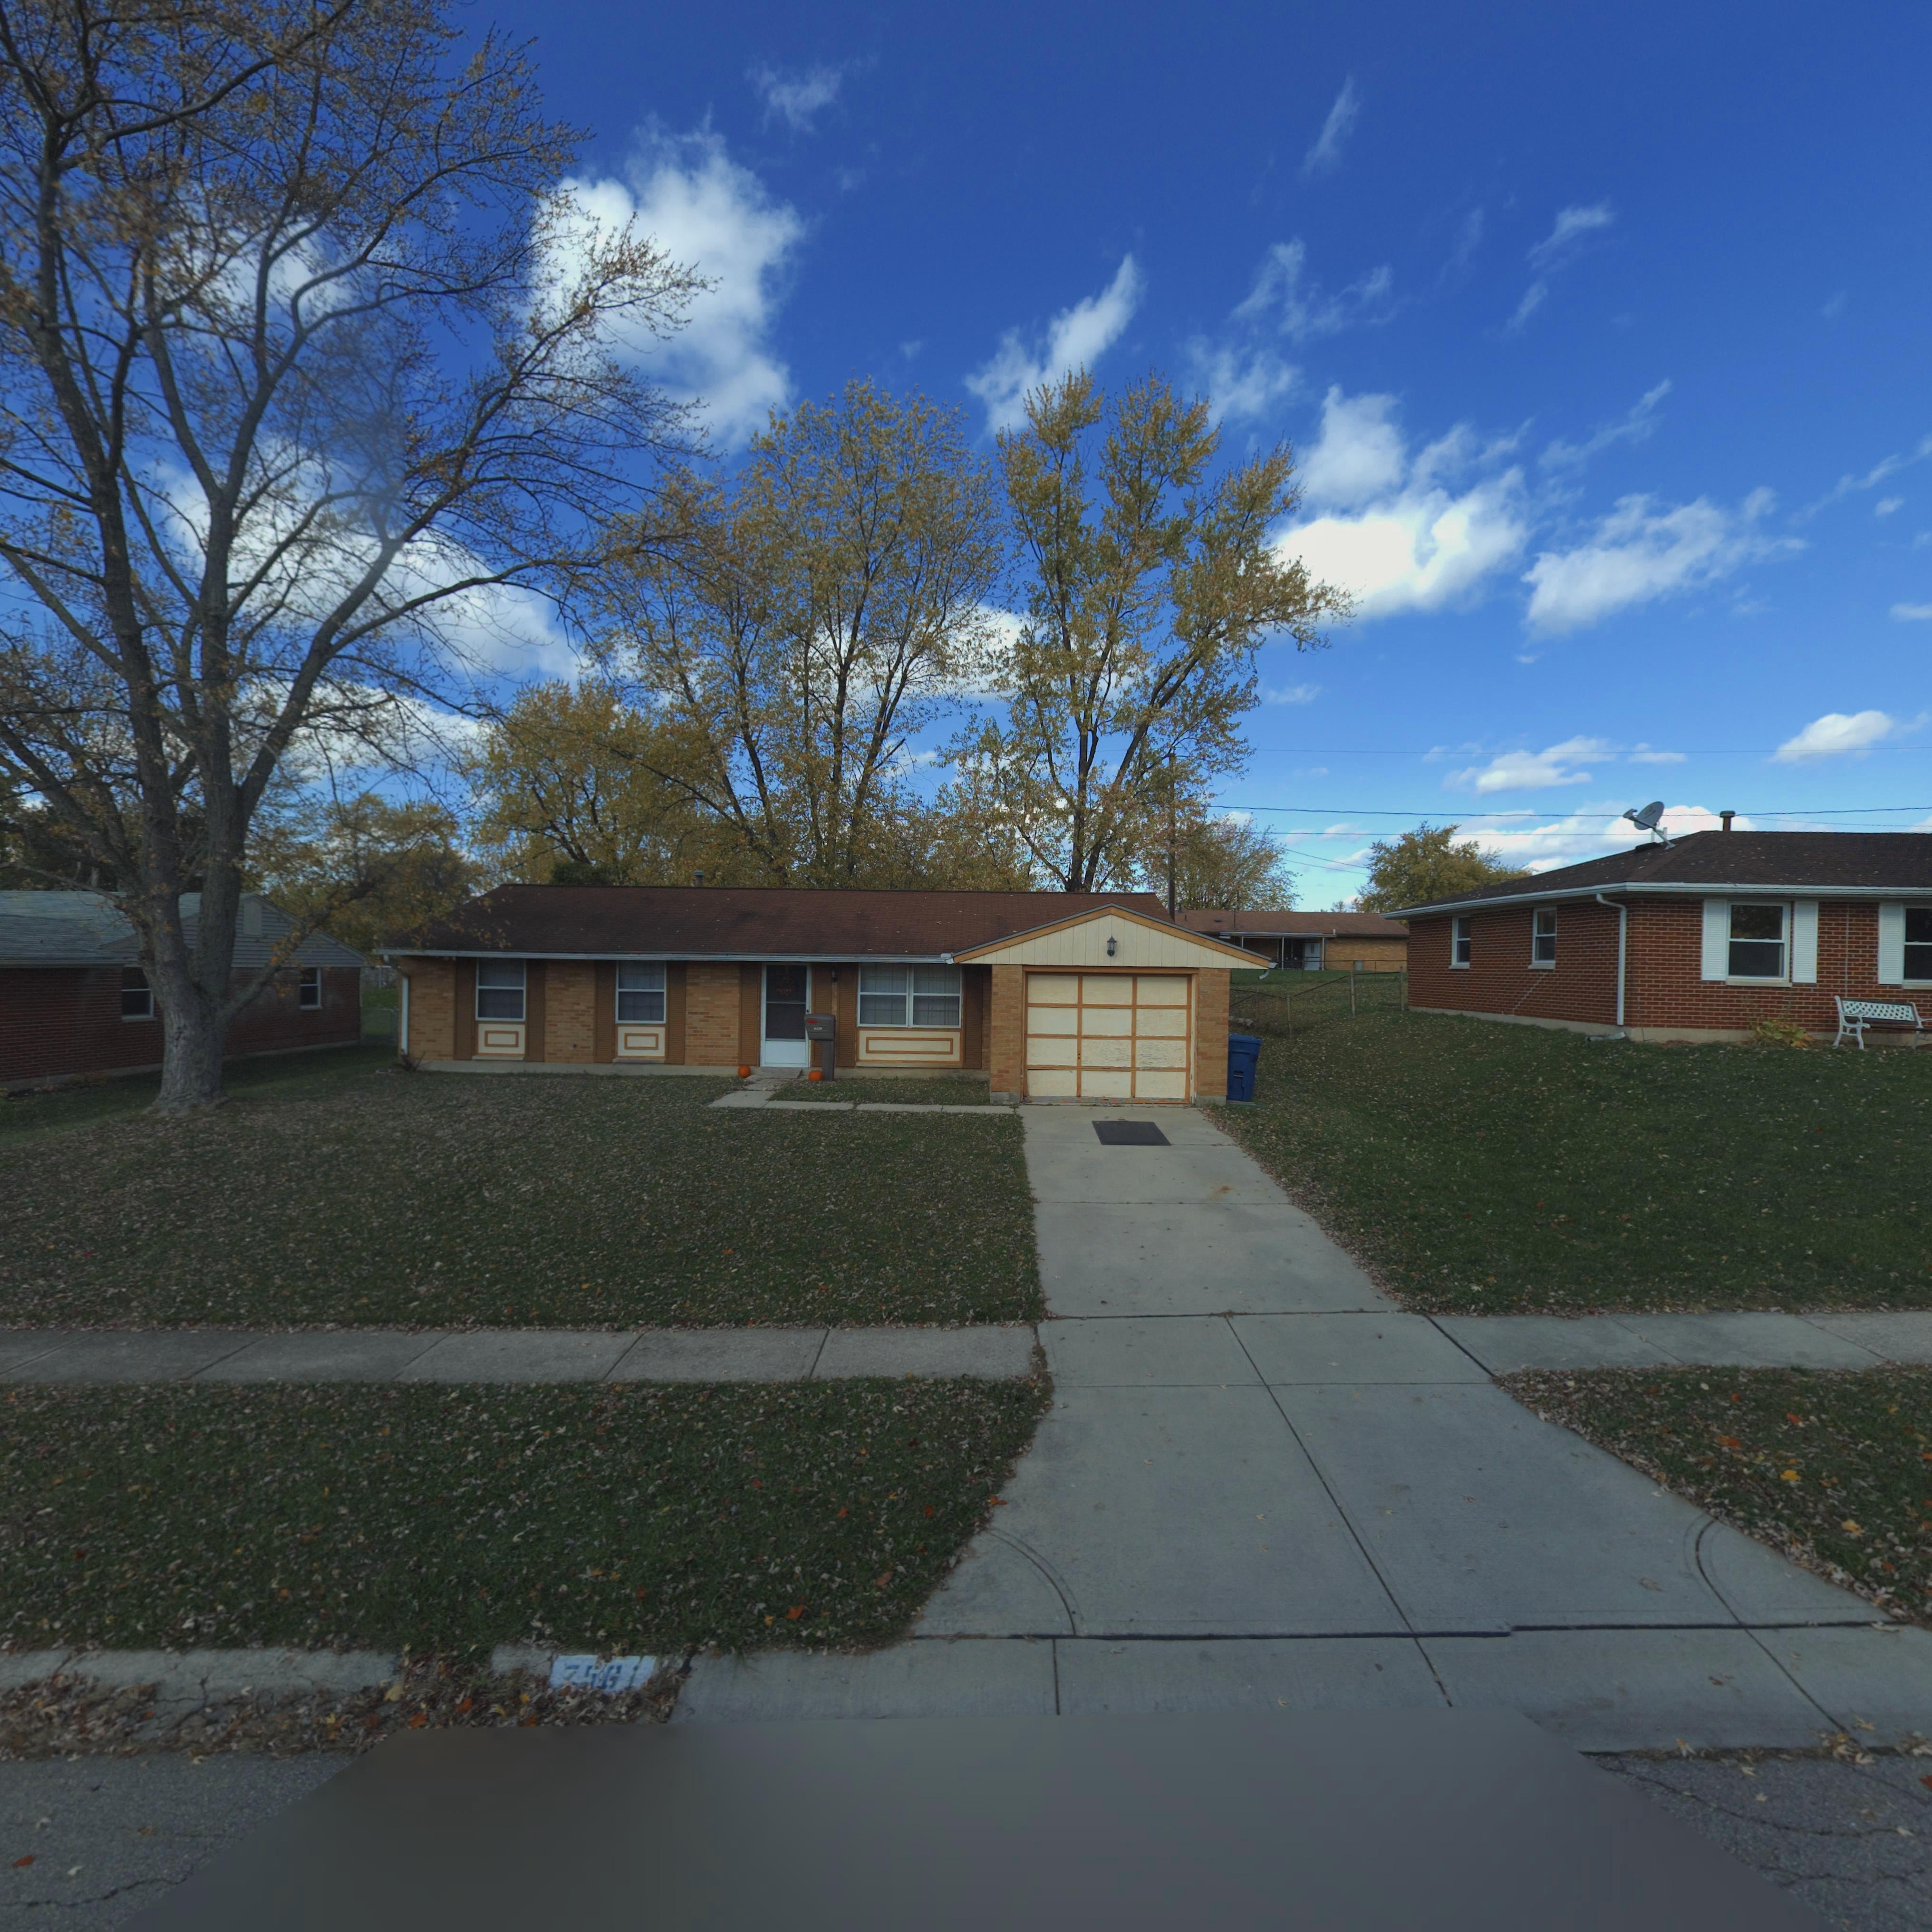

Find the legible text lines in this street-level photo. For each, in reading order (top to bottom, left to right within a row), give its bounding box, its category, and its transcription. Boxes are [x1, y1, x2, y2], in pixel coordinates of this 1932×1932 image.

[555, 1663, 643, 1695] StreetNumber: 7561